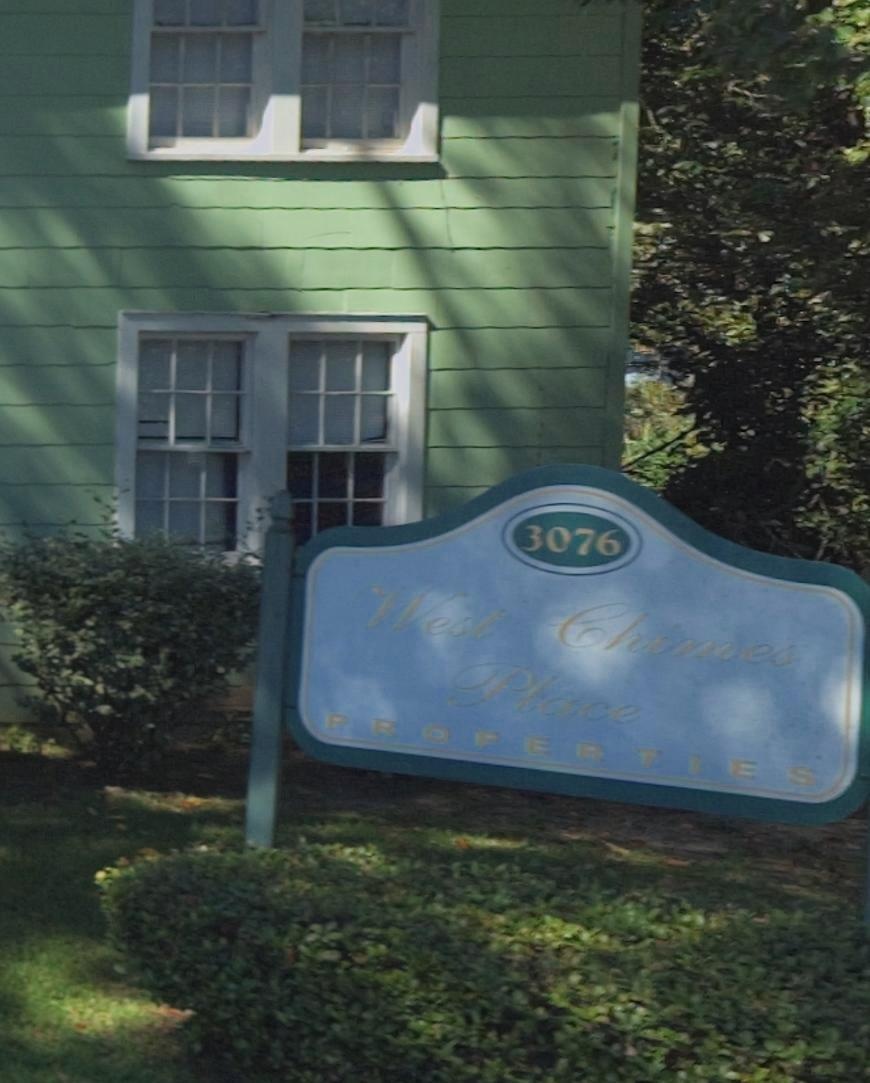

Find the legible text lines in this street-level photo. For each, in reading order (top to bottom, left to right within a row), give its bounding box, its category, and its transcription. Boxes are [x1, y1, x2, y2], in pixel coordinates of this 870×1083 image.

[521, 523, 622, 557] StreetNumber: 3076
[362, 580, 800, 669] BusinessName: West Chimes
[456, 665, 645, 727] BusinessName: Place
[322, 711, 819, 790] BusinessName: PROPERTIES